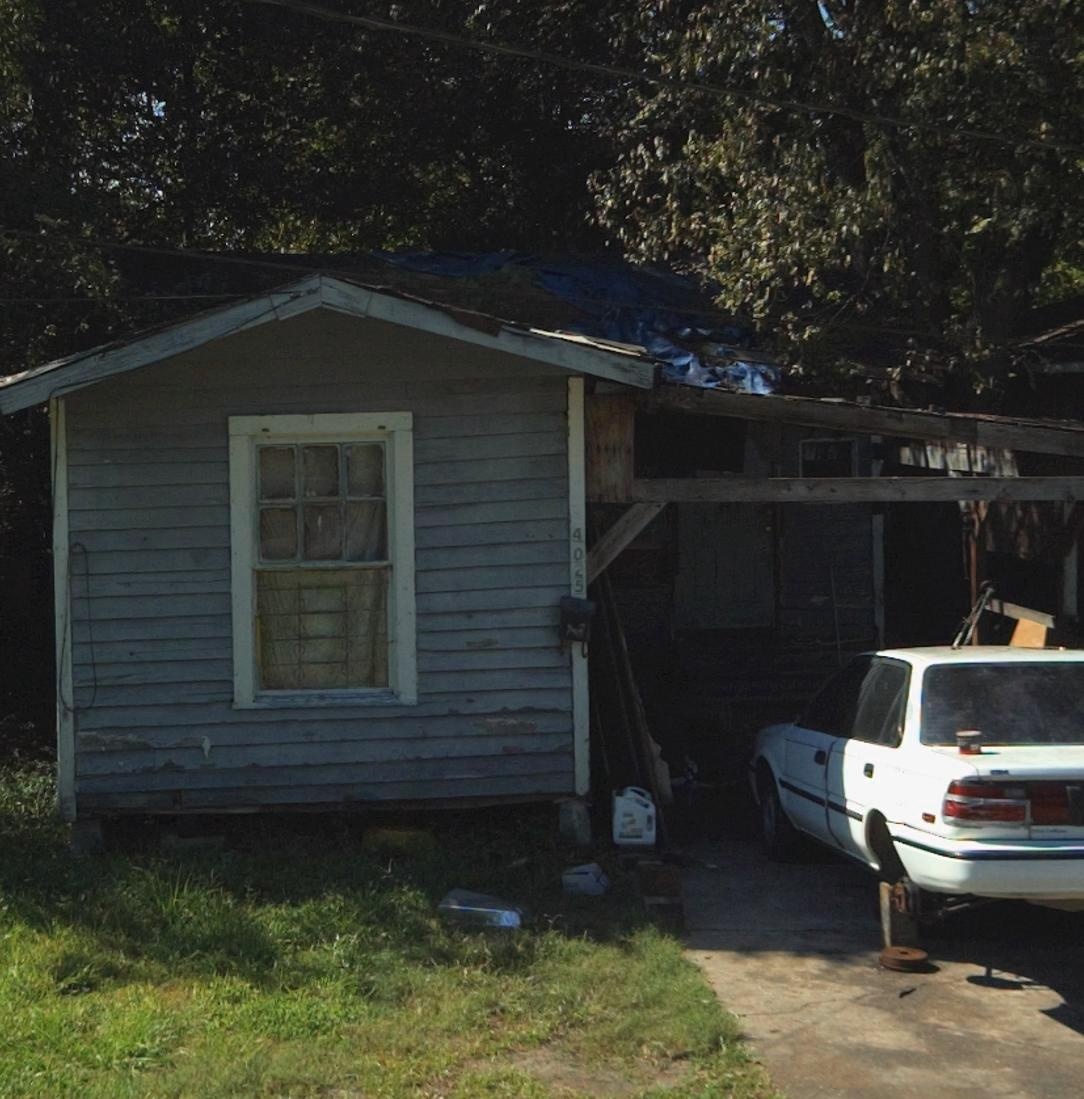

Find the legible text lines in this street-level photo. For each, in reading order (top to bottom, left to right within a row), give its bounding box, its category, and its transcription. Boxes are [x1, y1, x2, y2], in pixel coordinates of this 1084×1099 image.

[571, 525, 585, 595] StreetNumber: 4025